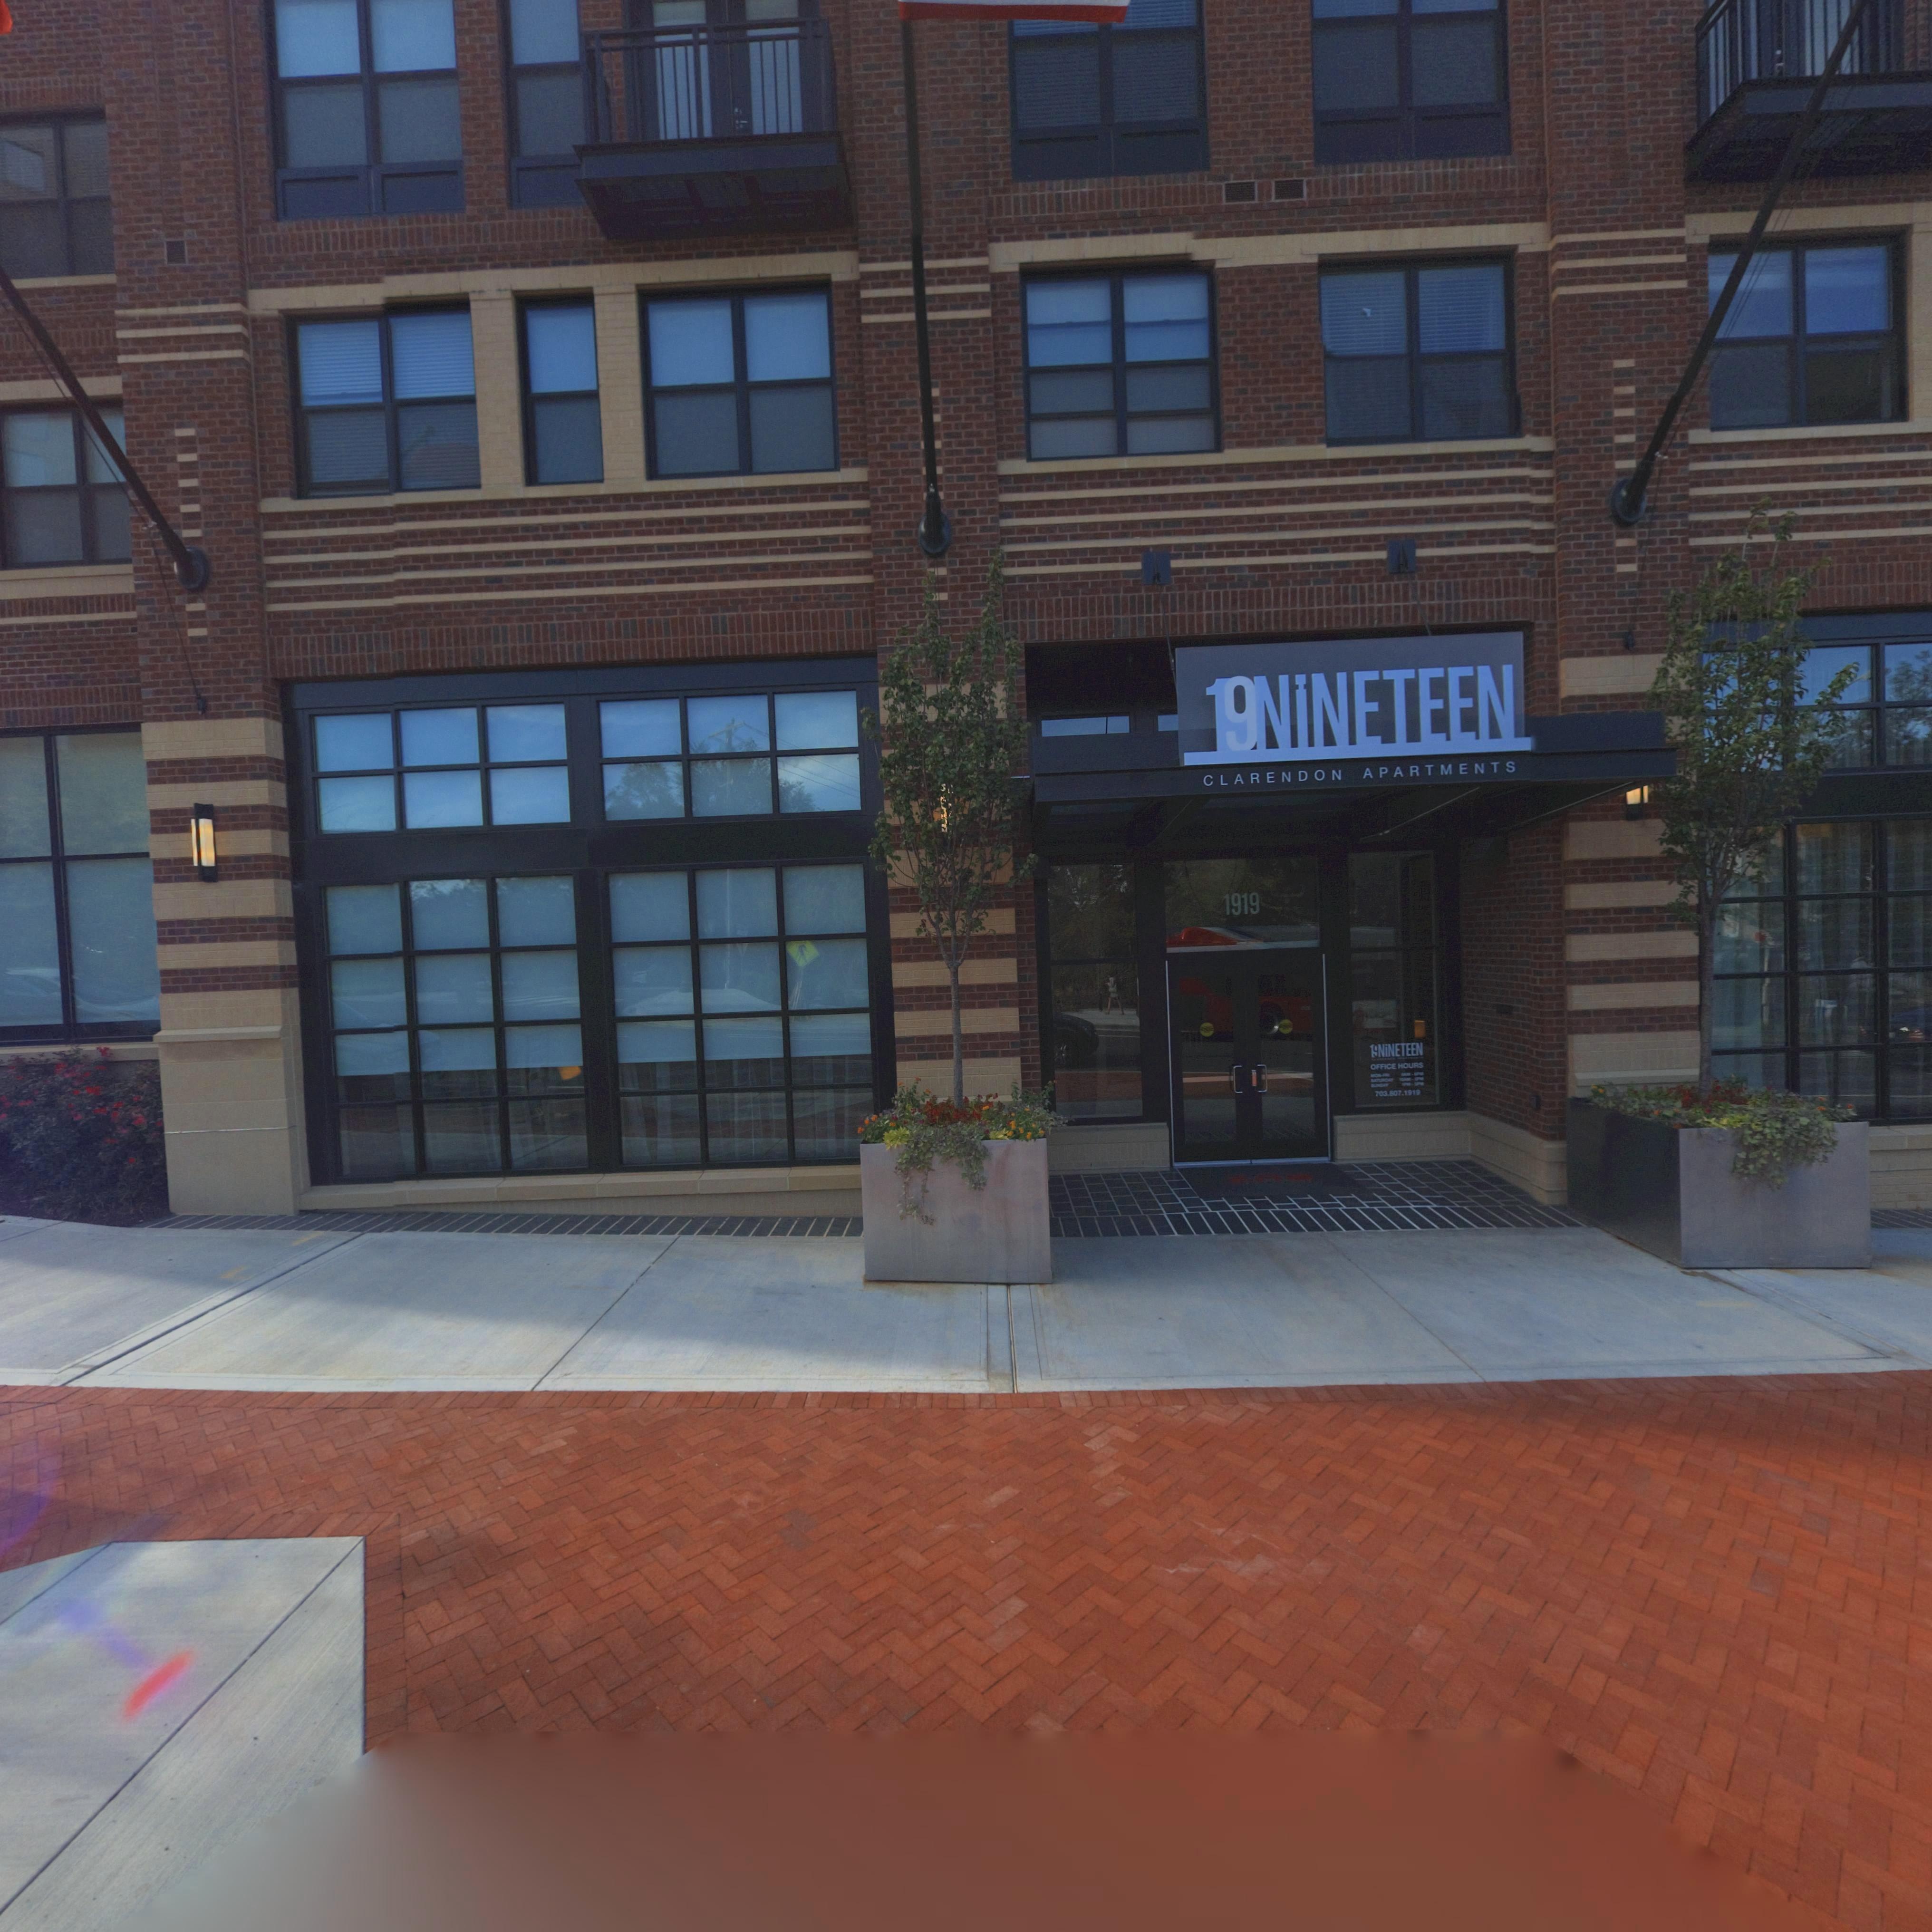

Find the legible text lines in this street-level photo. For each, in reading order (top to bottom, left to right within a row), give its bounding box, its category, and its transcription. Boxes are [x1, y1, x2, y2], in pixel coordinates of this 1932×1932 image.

[1250, 659, 1518, 754] None: NiNETEEN
[1200, 759, 1518, 789] None: CLARENDON APARTMENTS
[1222, 890, 1262, 917] StreetNumber: 1919
[1377, 1041, 1424, 1058] None: NiNETEEN
[1369, 1061, 1425, 1072] None: OFFICE HOURS
[1373, 1088, 1422, 1098] None: 703.807.1919